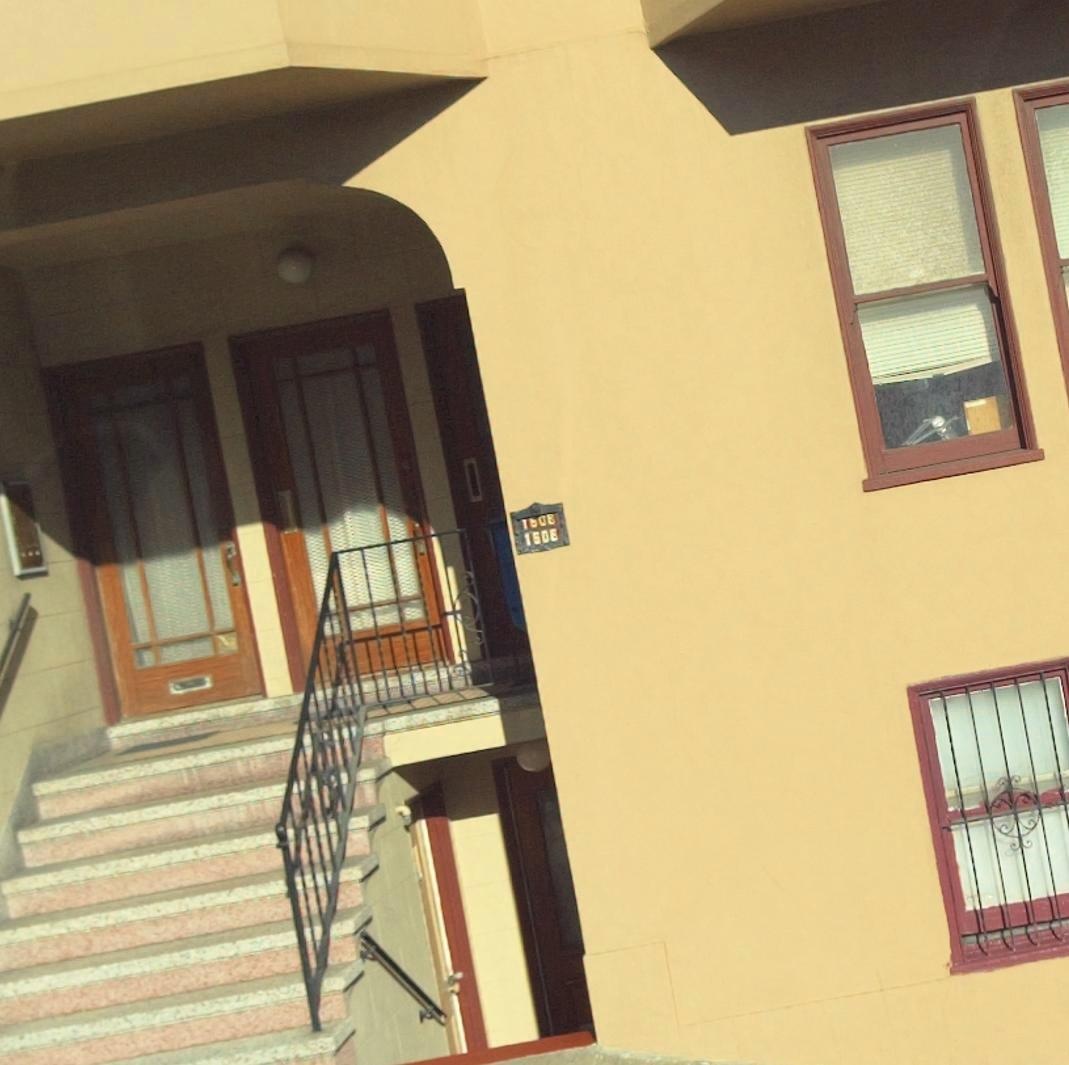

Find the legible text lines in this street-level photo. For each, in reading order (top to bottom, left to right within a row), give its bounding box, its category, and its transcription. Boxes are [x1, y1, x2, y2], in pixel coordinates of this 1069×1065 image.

[519, 512, 557, 532] StreetNumber: 1606
[522, 526, 560, 548] StreetNumber: 1608